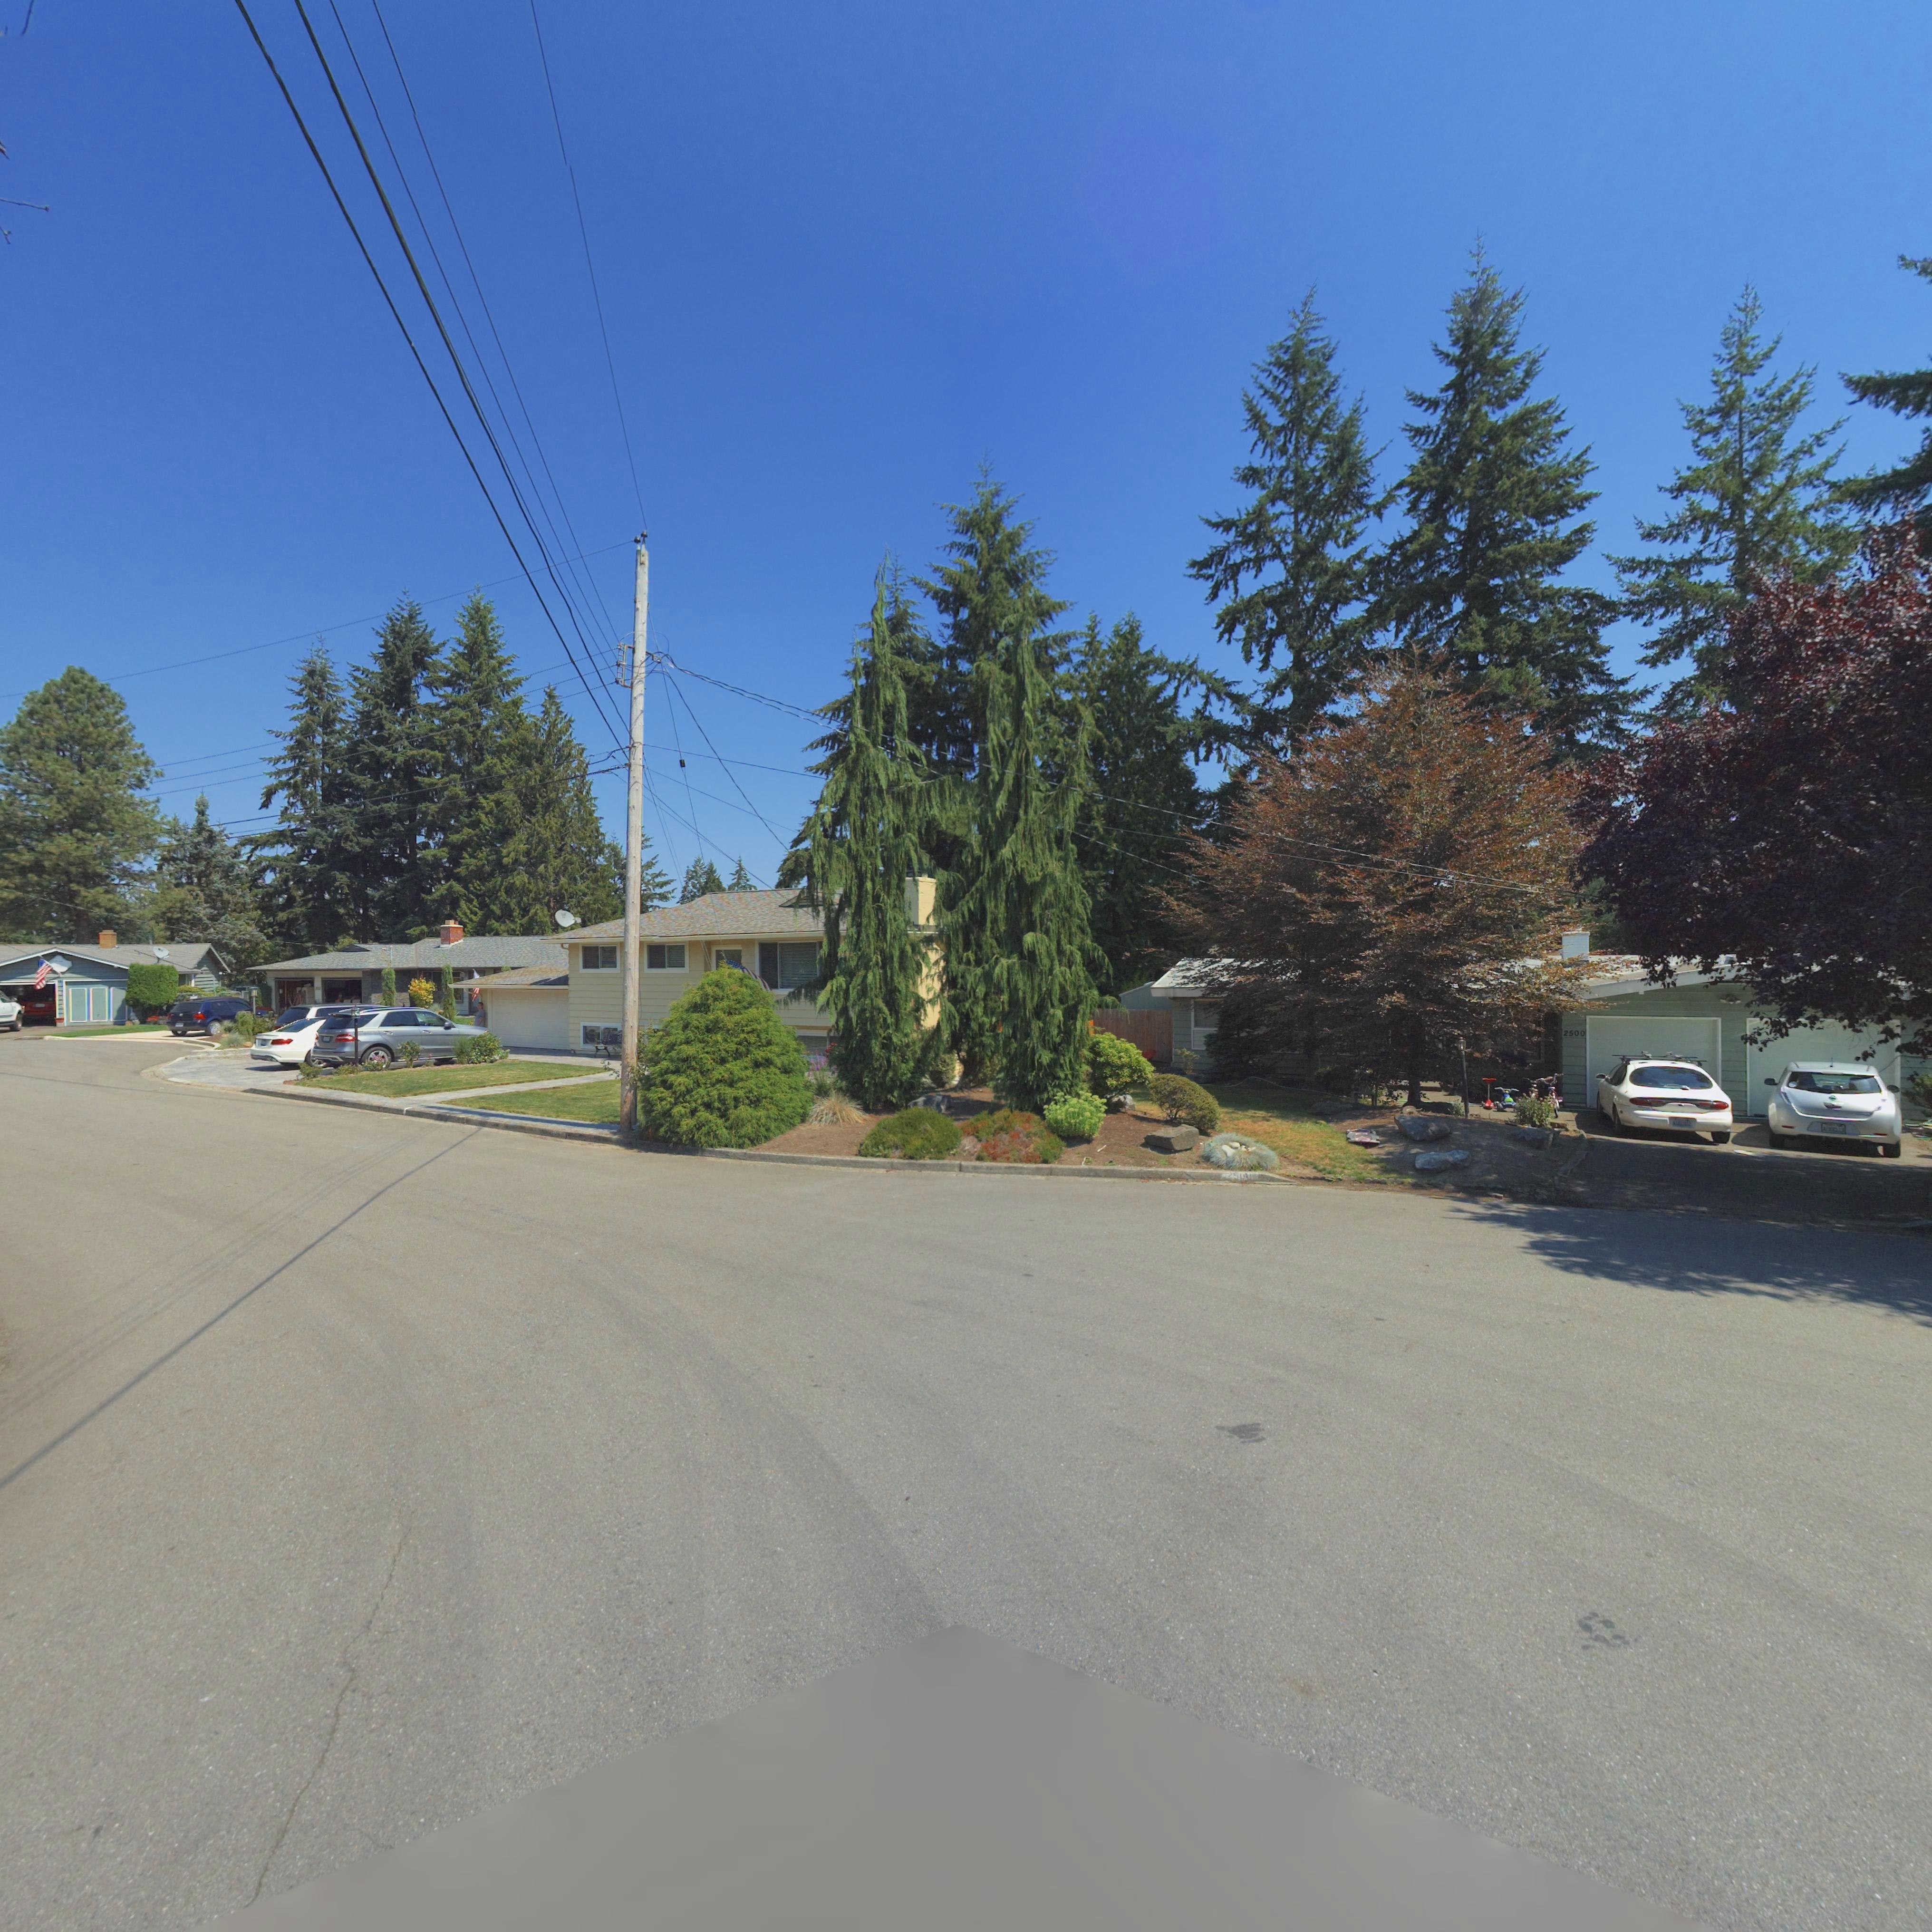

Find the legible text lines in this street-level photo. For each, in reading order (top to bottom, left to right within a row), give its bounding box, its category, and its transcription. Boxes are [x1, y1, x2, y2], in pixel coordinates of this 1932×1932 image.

[1563, 1029, 1585, 1037] StreetNumber: 2500